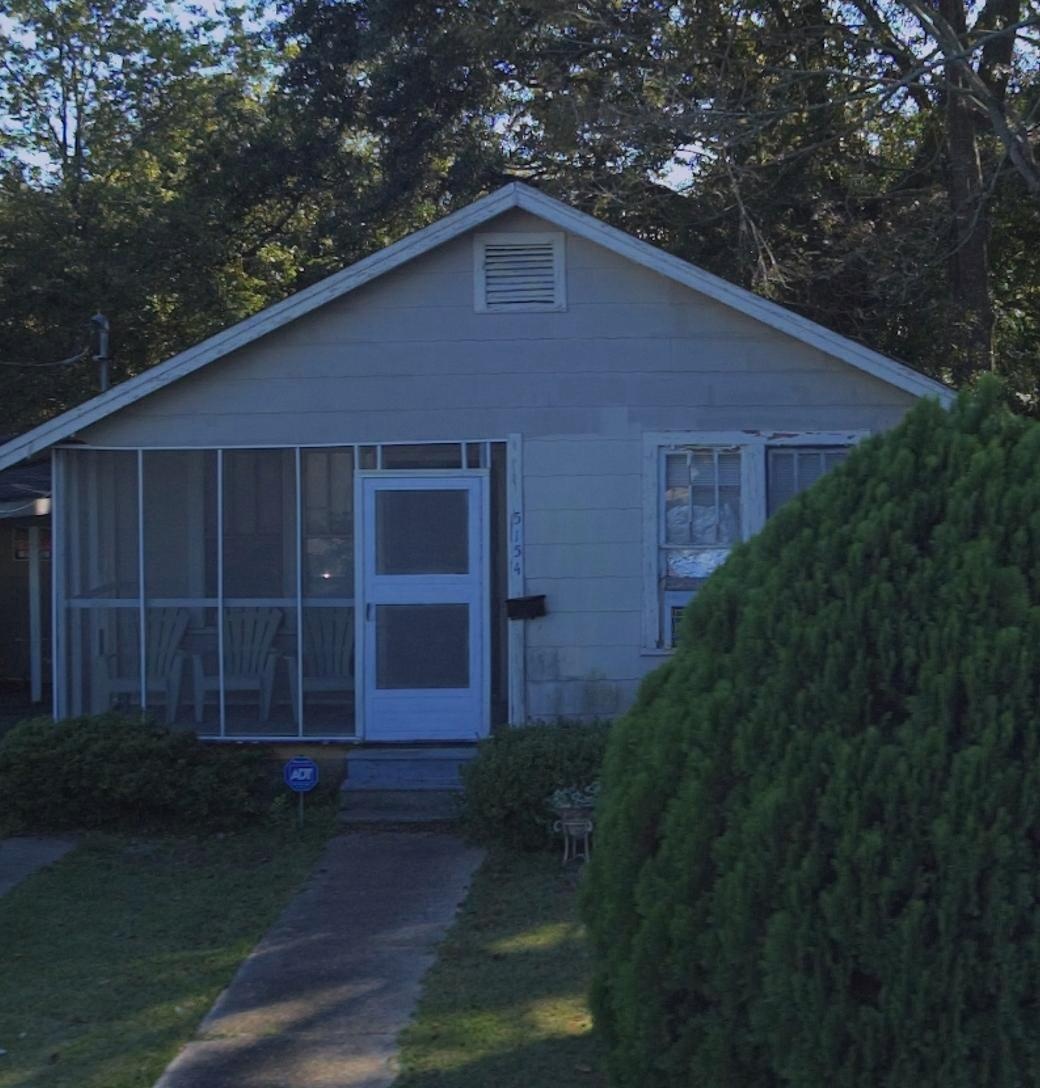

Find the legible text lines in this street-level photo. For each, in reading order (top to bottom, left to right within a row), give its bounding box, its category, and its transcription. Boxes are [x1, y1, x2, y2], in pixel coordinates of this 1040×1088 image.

[510, 510, 523, 577] StreetNumber: 5154
[290, 767, 313, 781] None: ADT